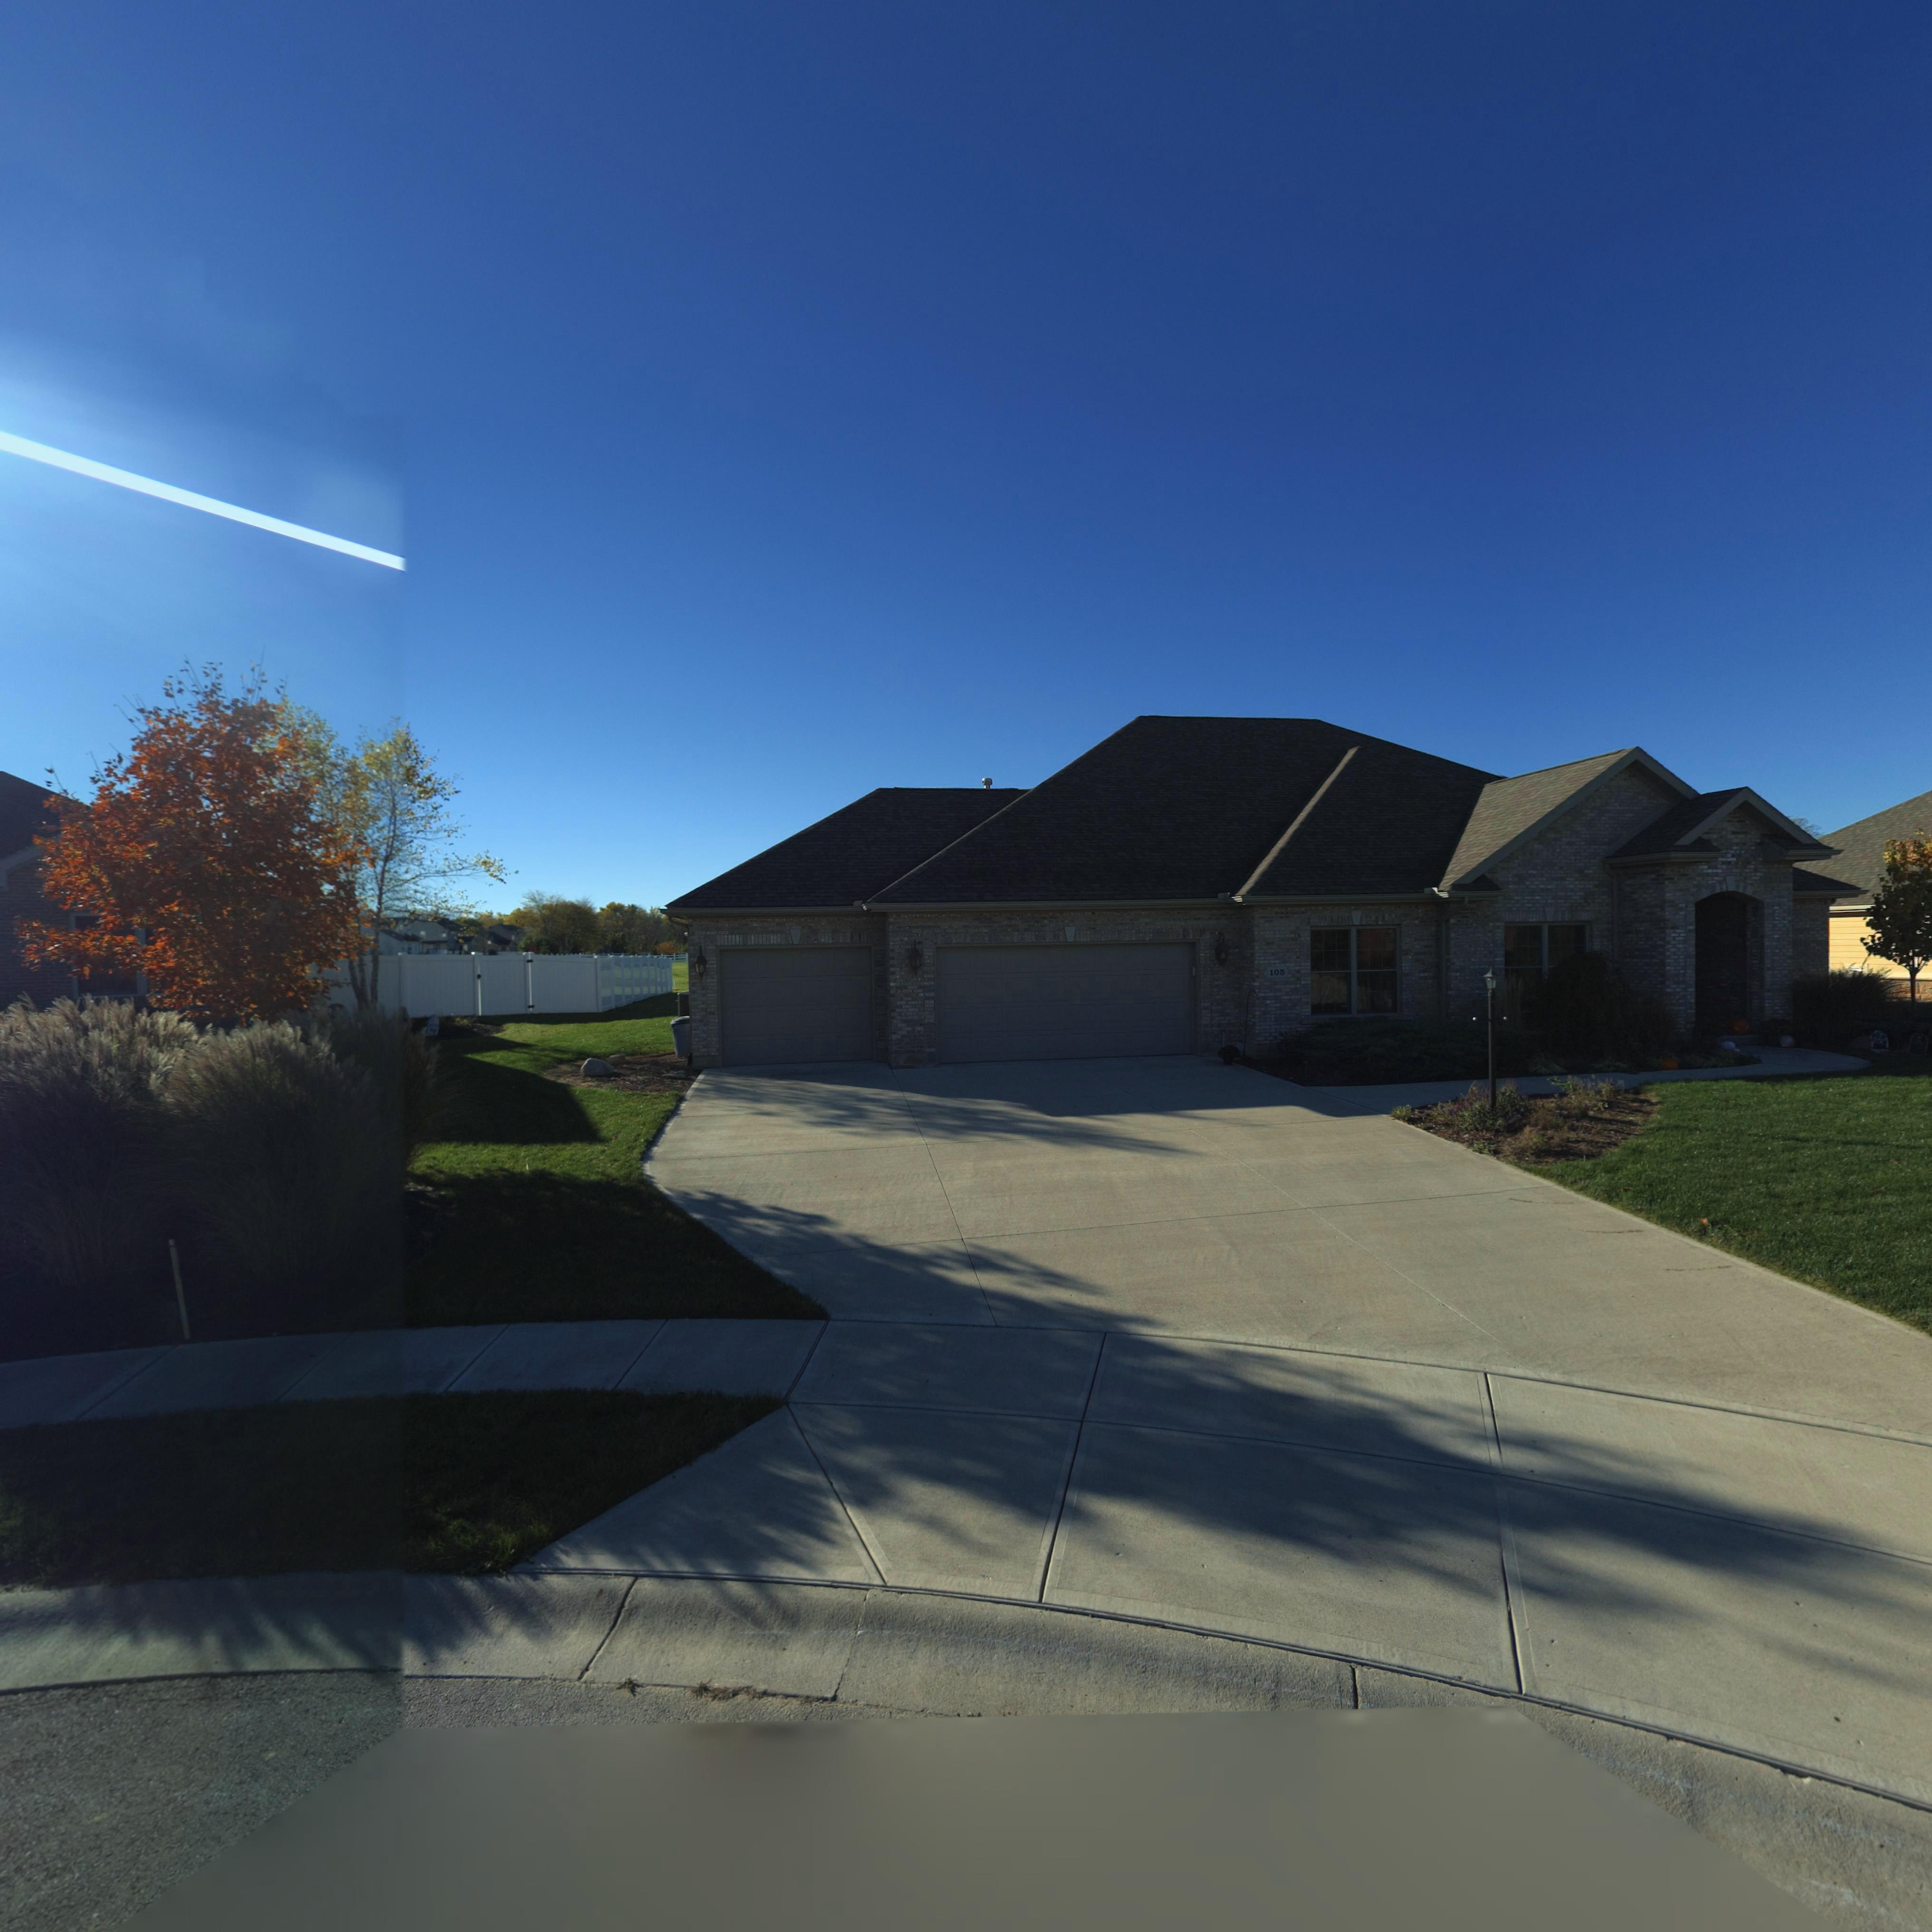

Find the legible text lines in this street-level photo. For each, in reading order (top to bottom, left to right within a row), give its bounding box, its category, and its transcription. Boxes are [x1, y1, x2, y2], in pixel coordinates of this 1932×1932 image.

[1269, 968, 1286, 976] StreetNumber: 105